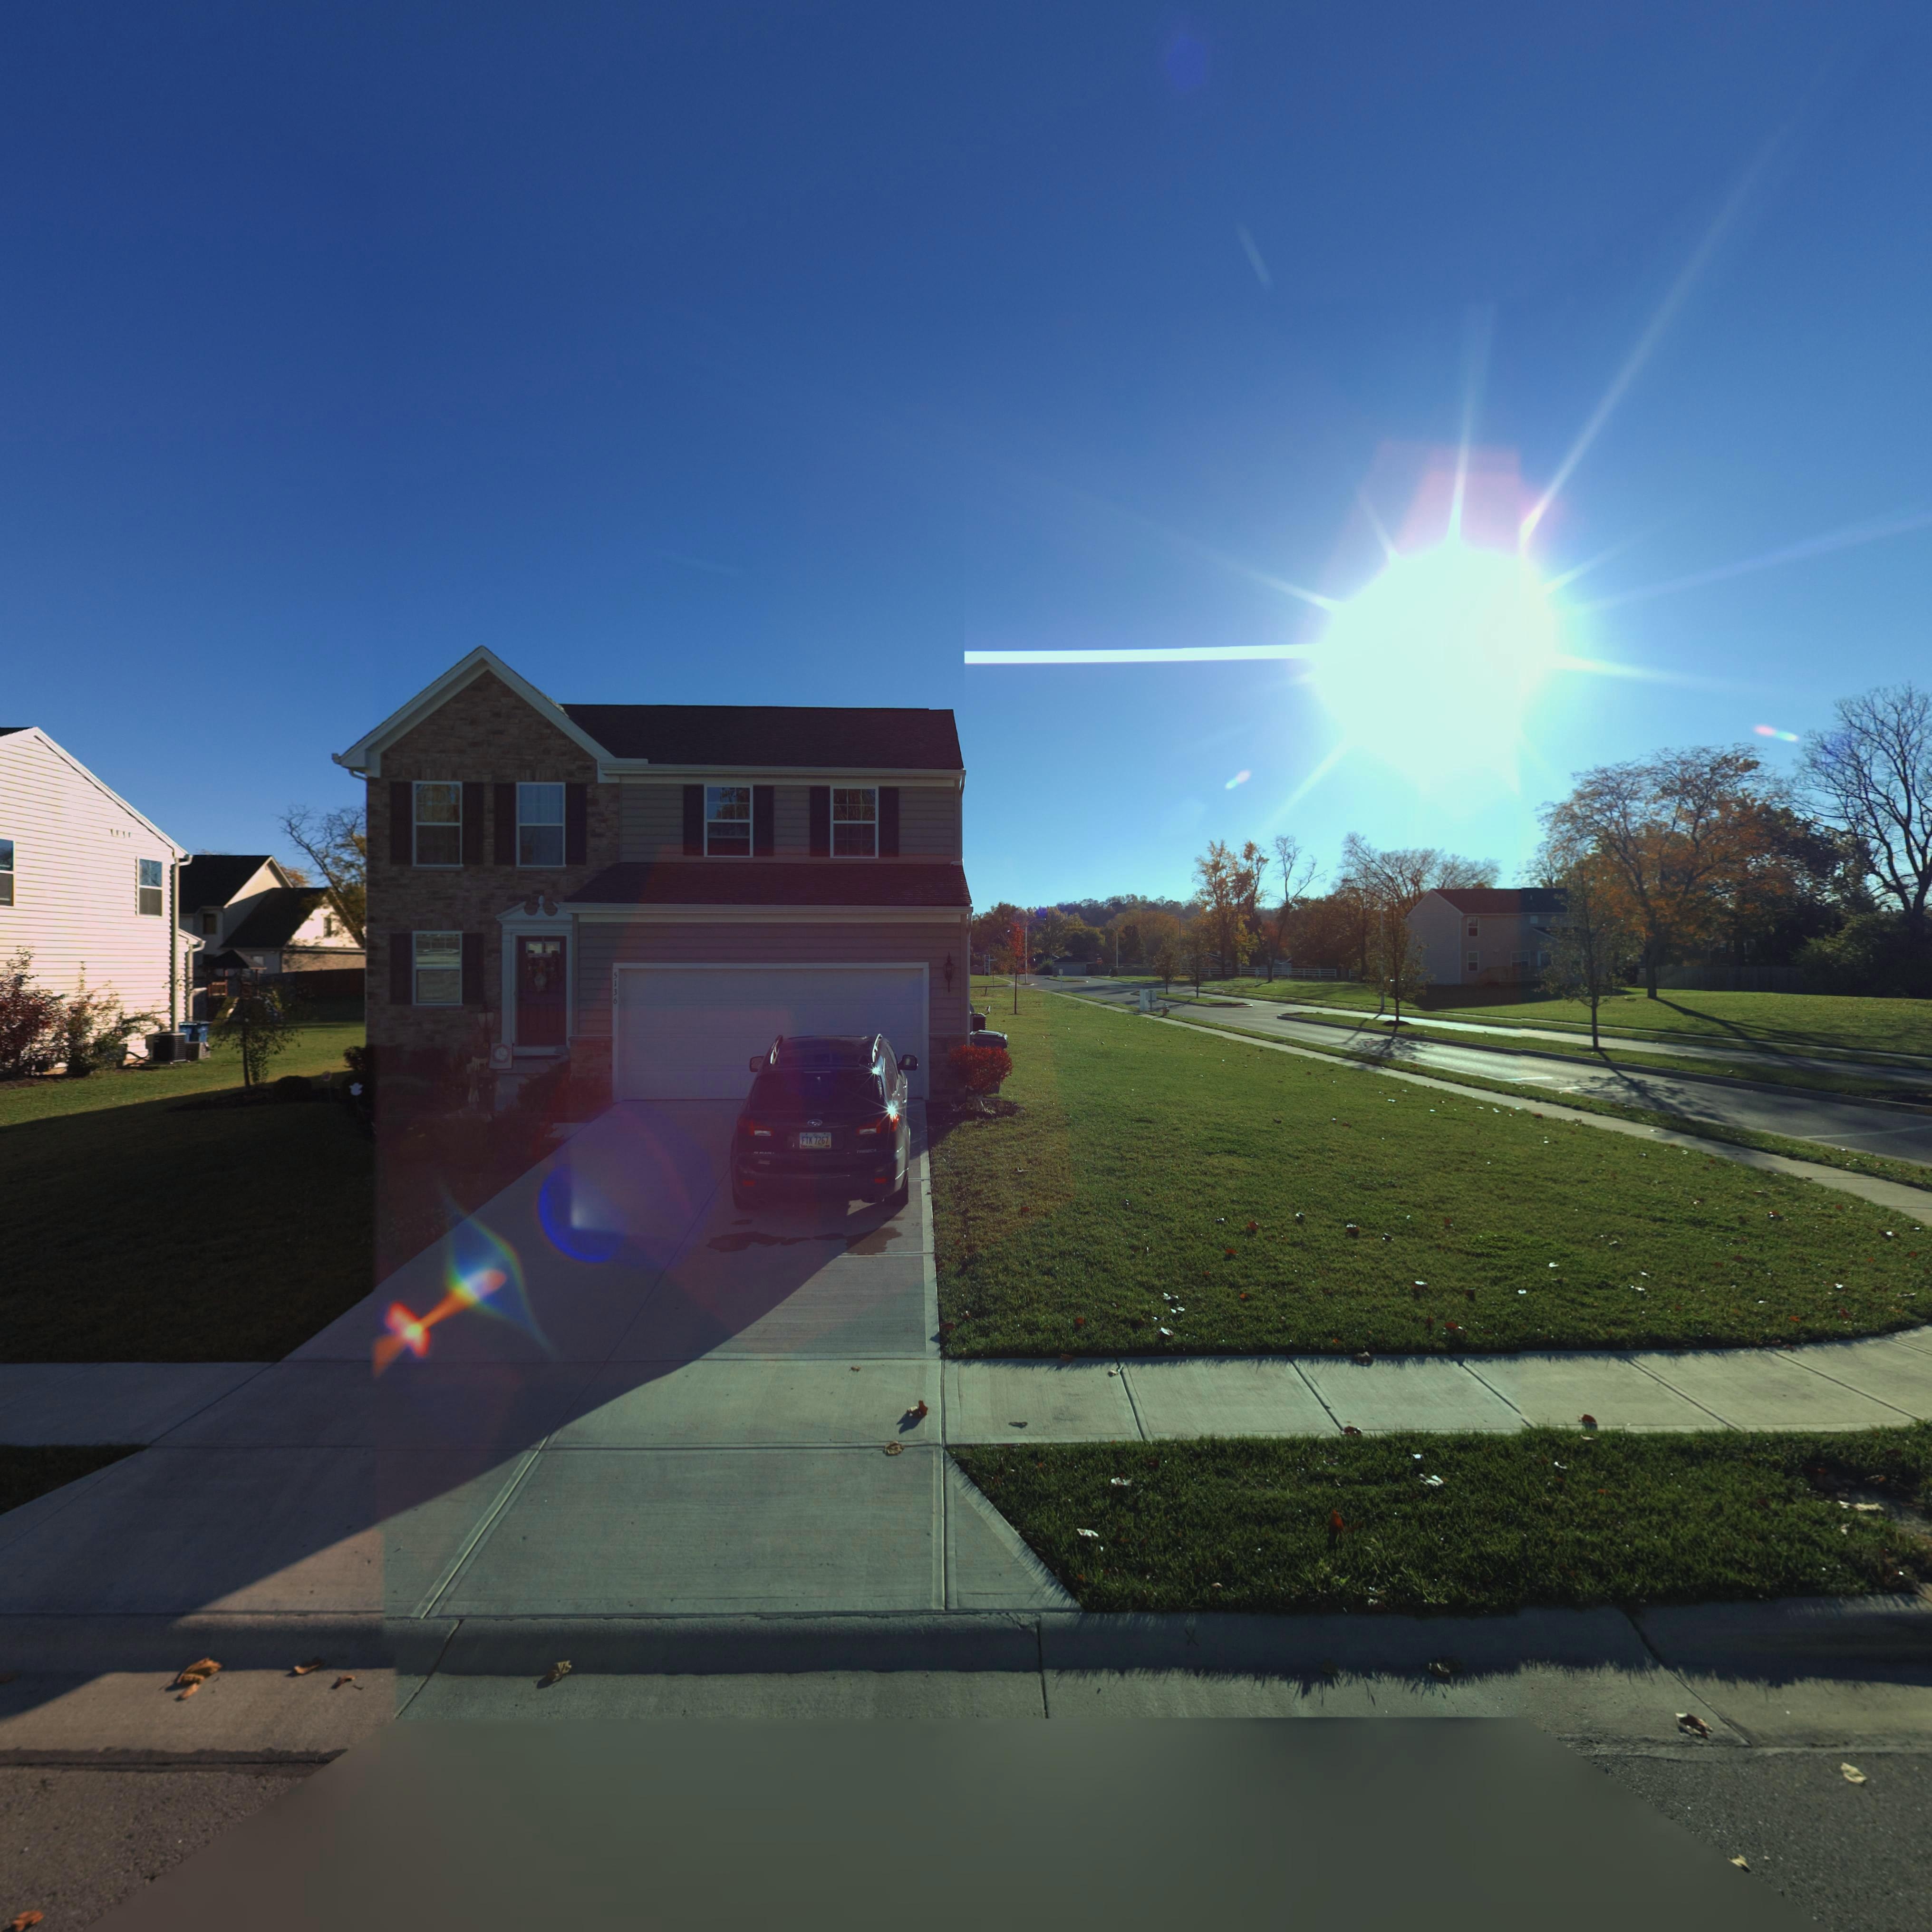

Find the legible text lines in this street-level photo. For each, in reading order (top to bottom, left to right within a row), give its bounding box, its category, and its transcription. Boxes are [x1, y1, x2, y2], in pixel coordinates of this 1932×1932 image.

[612, 971, 618, 1005] StreetNumber: 5136